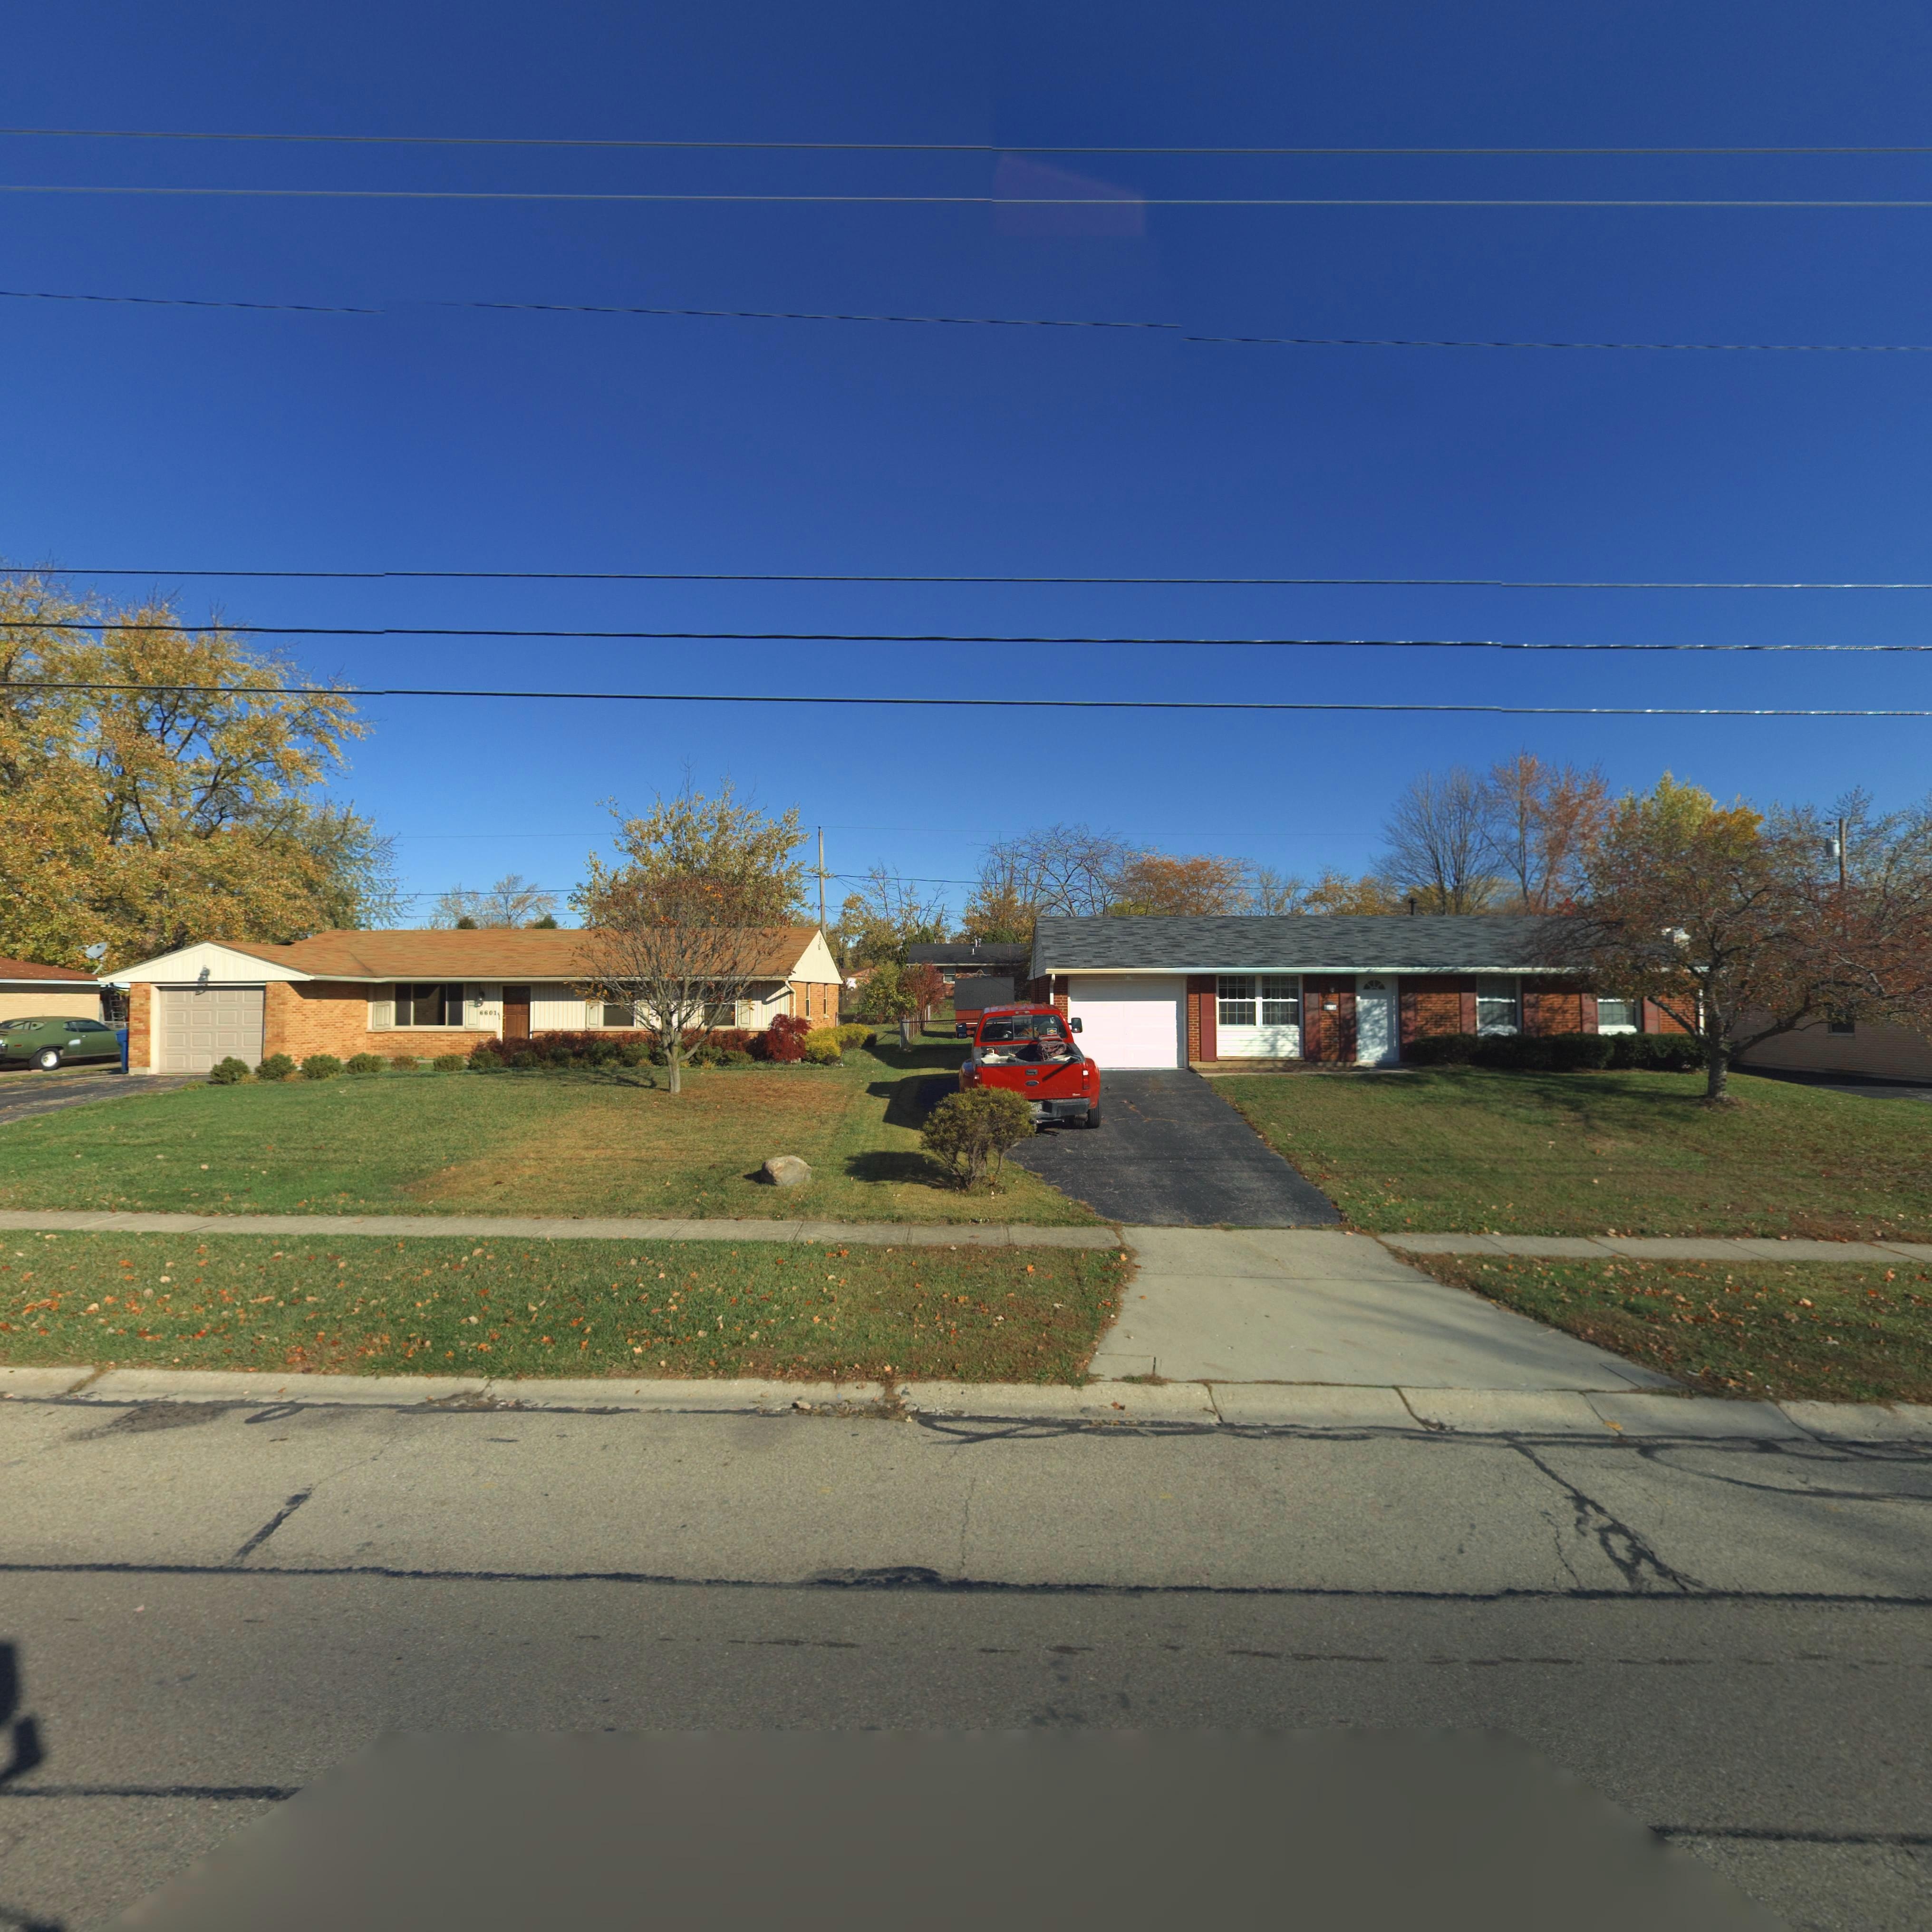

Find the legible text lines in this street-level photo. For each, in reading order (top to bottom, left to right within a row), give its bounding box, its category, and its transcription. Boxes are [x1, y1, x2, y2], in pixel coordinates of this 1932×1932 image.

[478, 1009, 498, 1017] StreetNumber: 6601